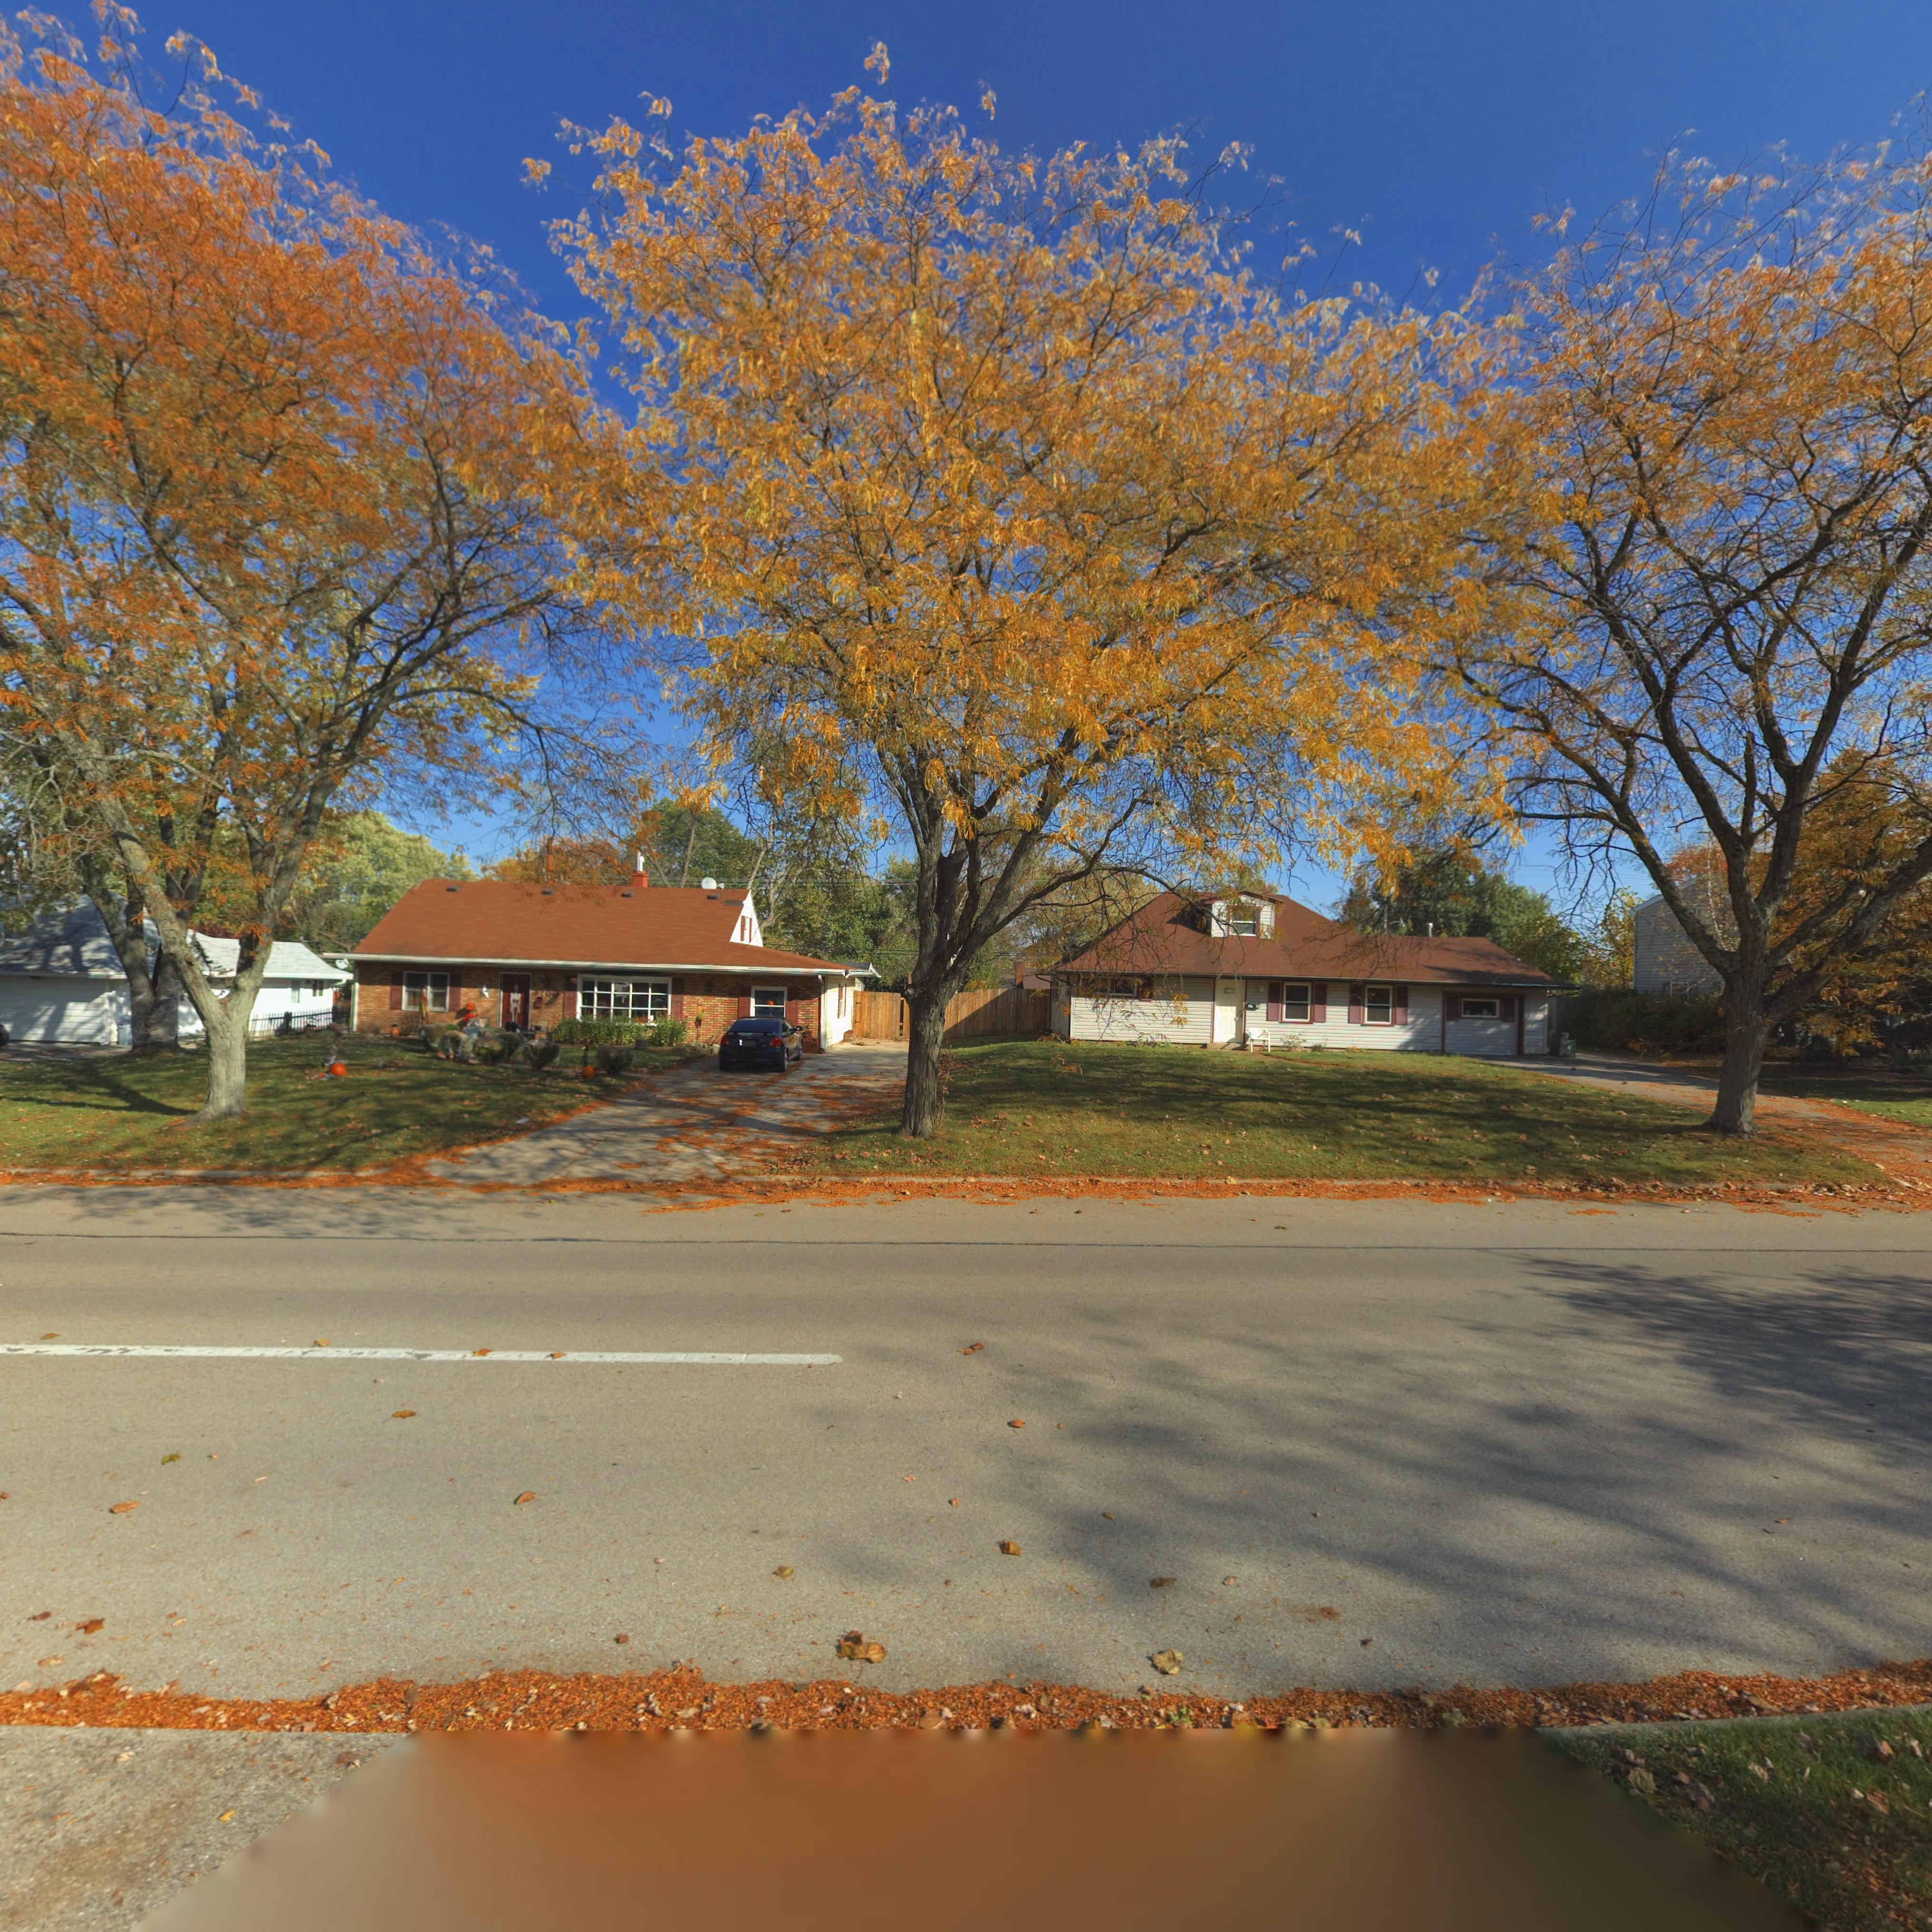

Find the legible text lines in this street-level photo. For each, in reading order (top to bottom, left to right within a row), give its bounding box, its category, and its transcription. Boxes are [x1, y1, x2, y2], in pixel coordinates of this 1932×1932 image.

[532, 989, 559, 997] StreetNumber: 3700